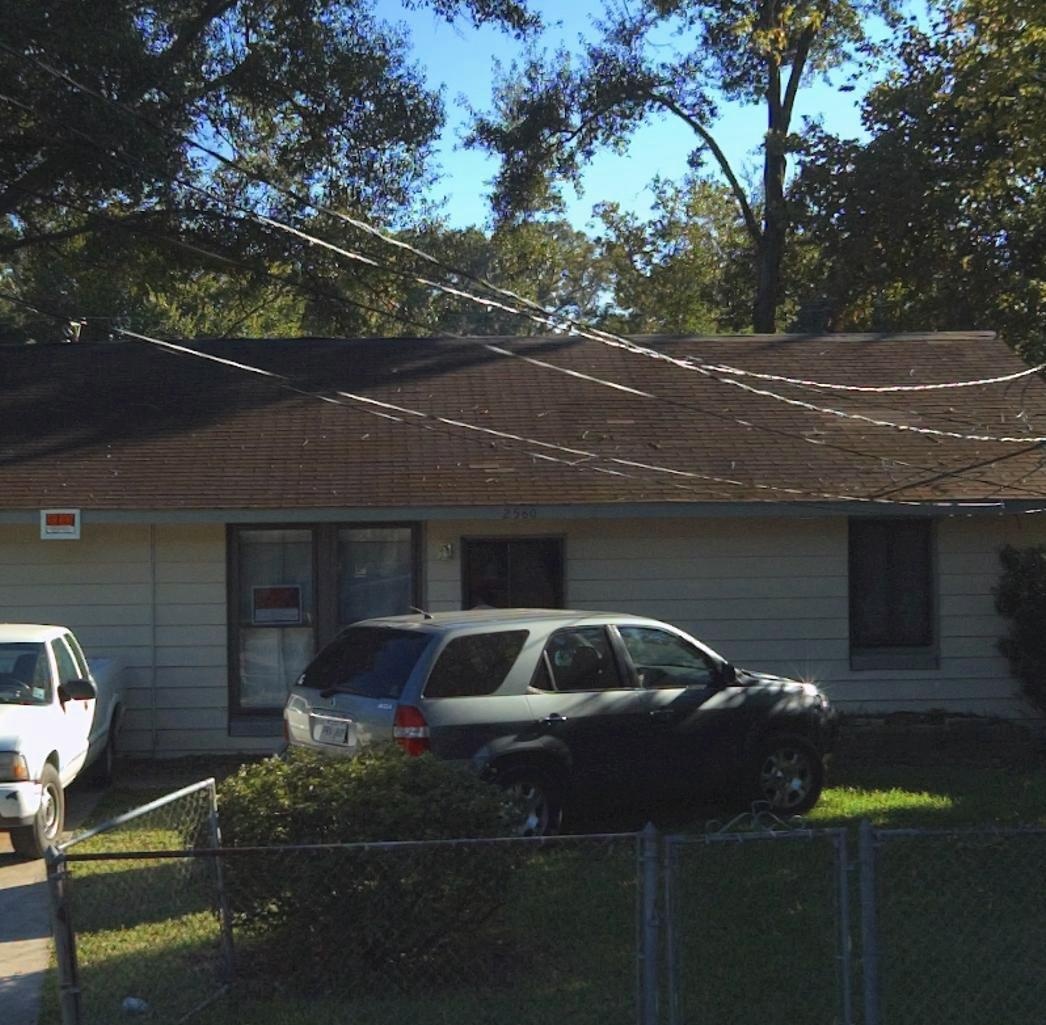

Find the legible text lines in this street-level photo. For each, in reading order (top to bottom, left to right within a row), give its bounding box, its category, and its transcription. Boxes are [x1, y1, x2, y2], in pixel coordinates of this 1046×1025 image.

[502, 507, 538, 520] StreetNumber: 2560